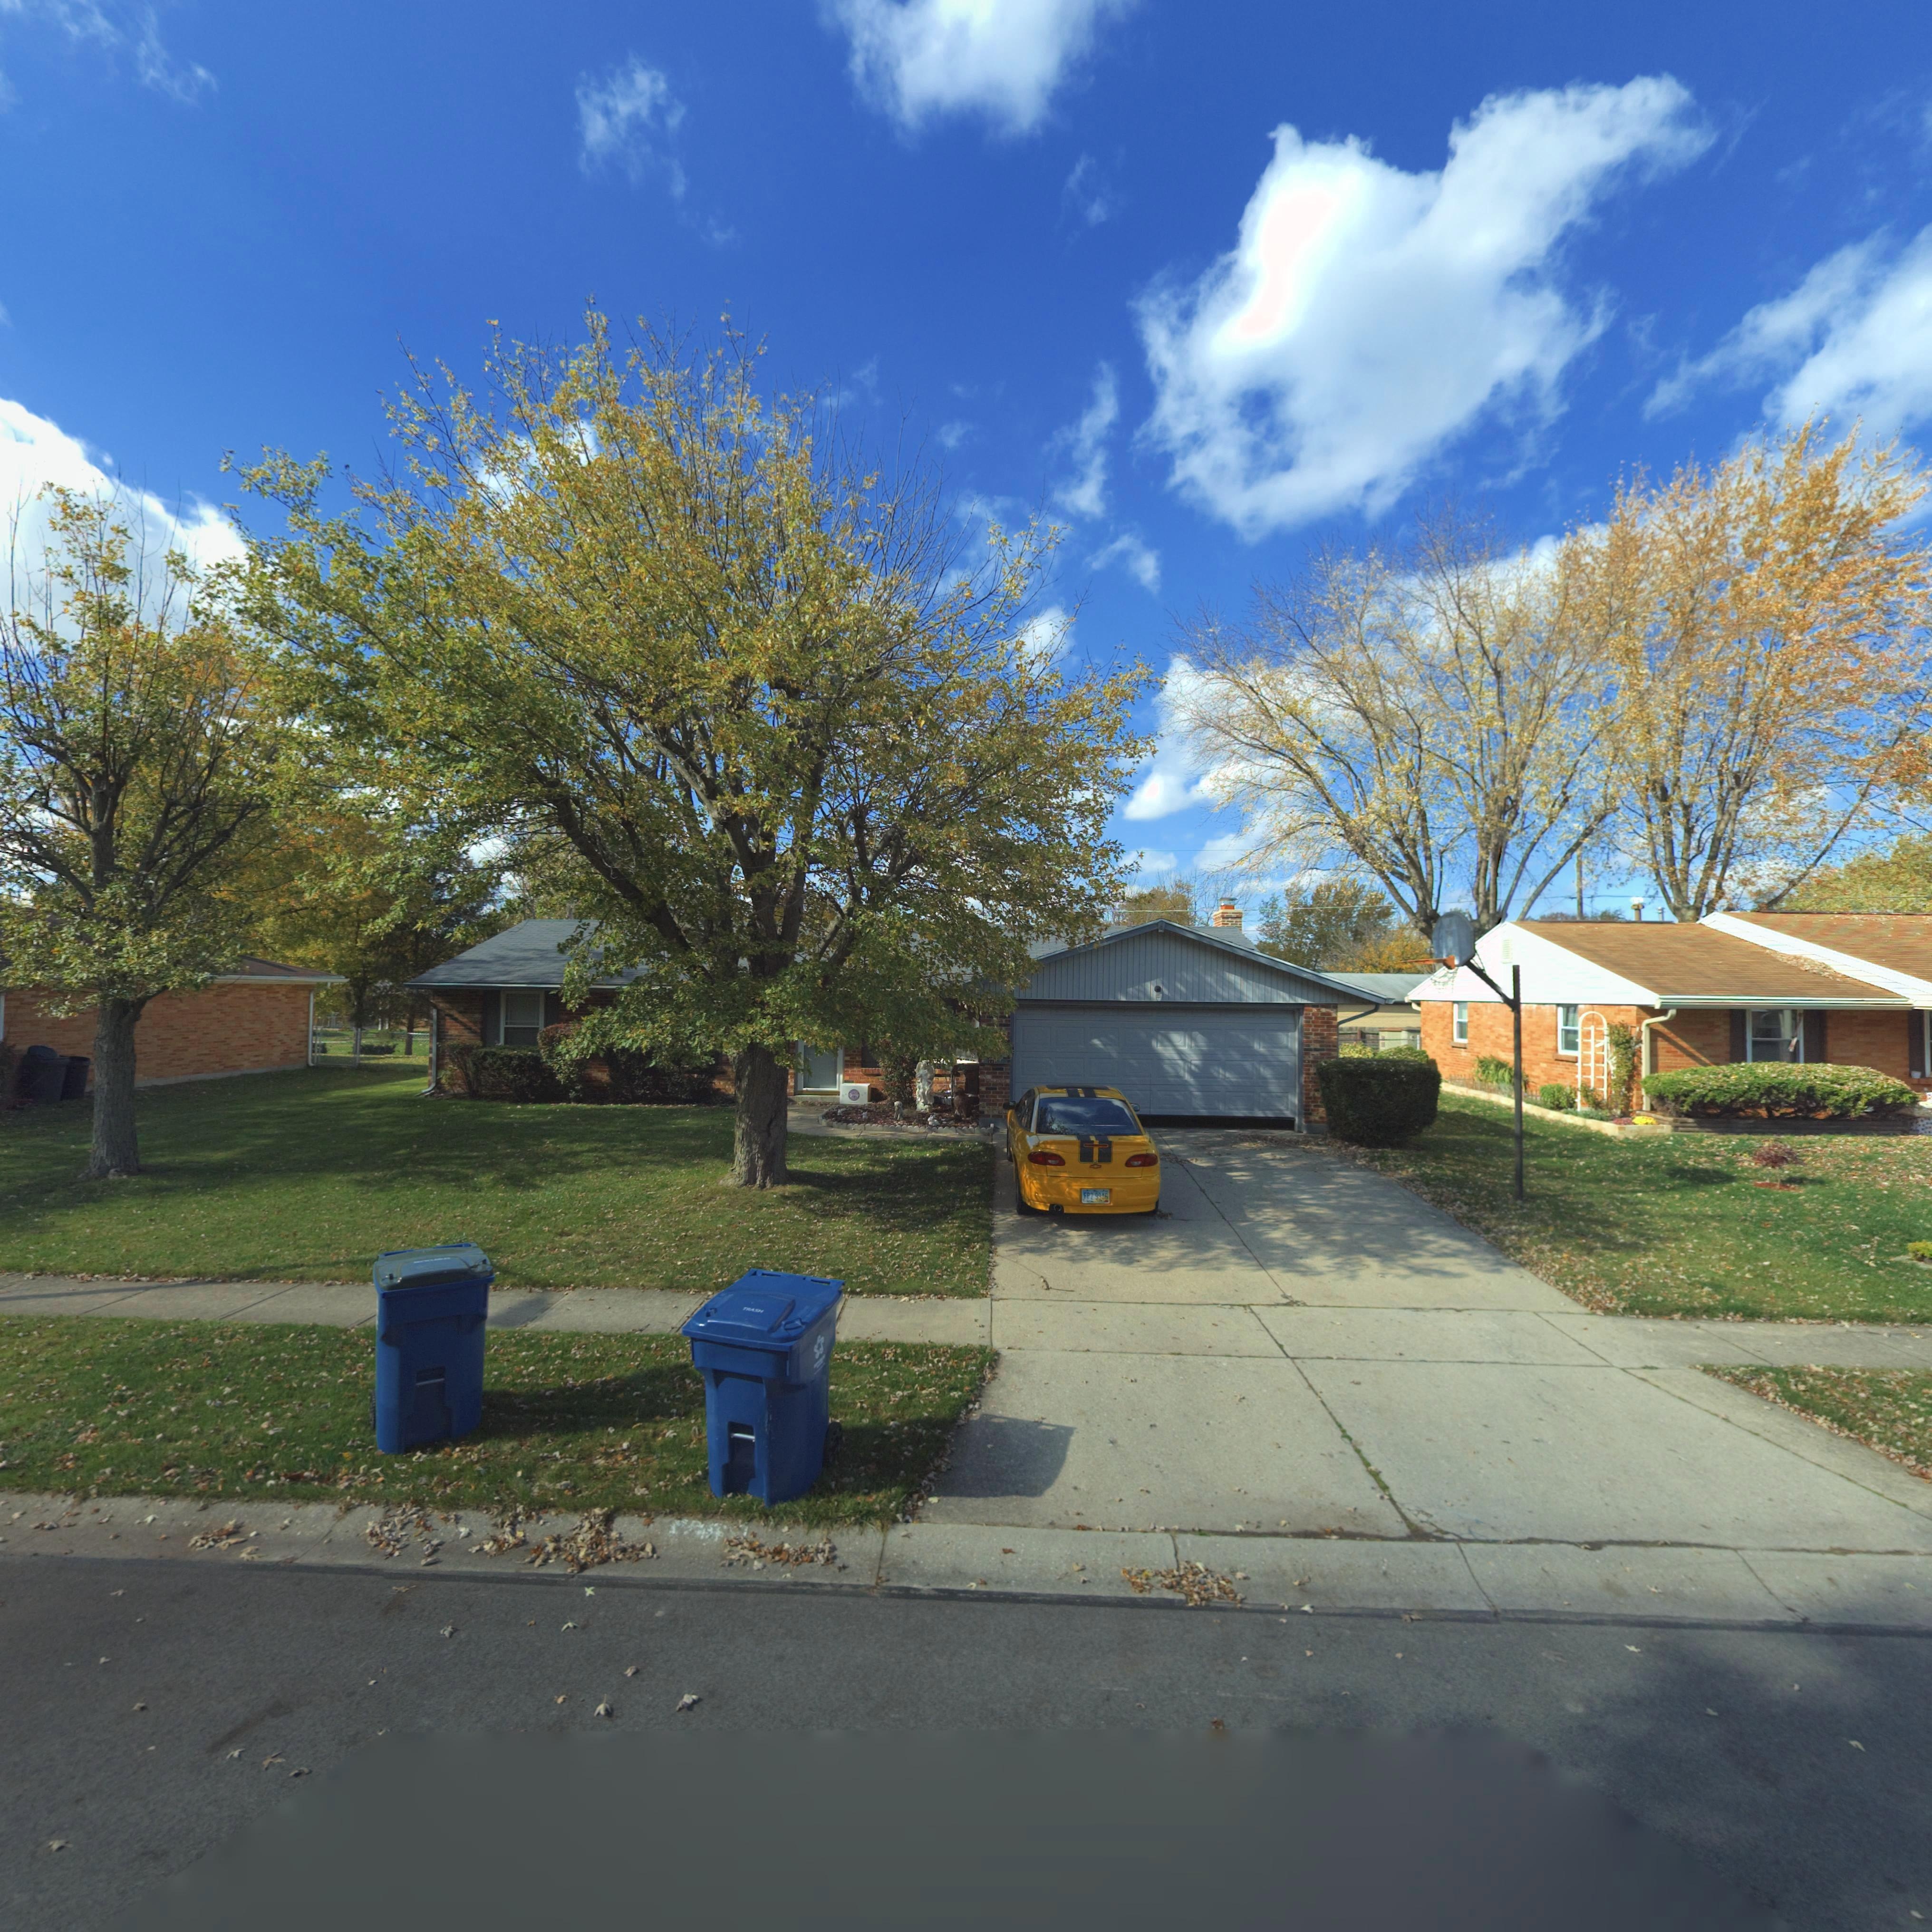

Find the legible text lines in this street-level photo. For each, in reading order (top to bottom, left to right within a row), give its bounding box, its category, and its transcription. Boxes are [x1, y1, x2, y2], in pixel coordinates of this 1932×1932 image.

[988, 1058, 995, 1064] StreetNumber: 771